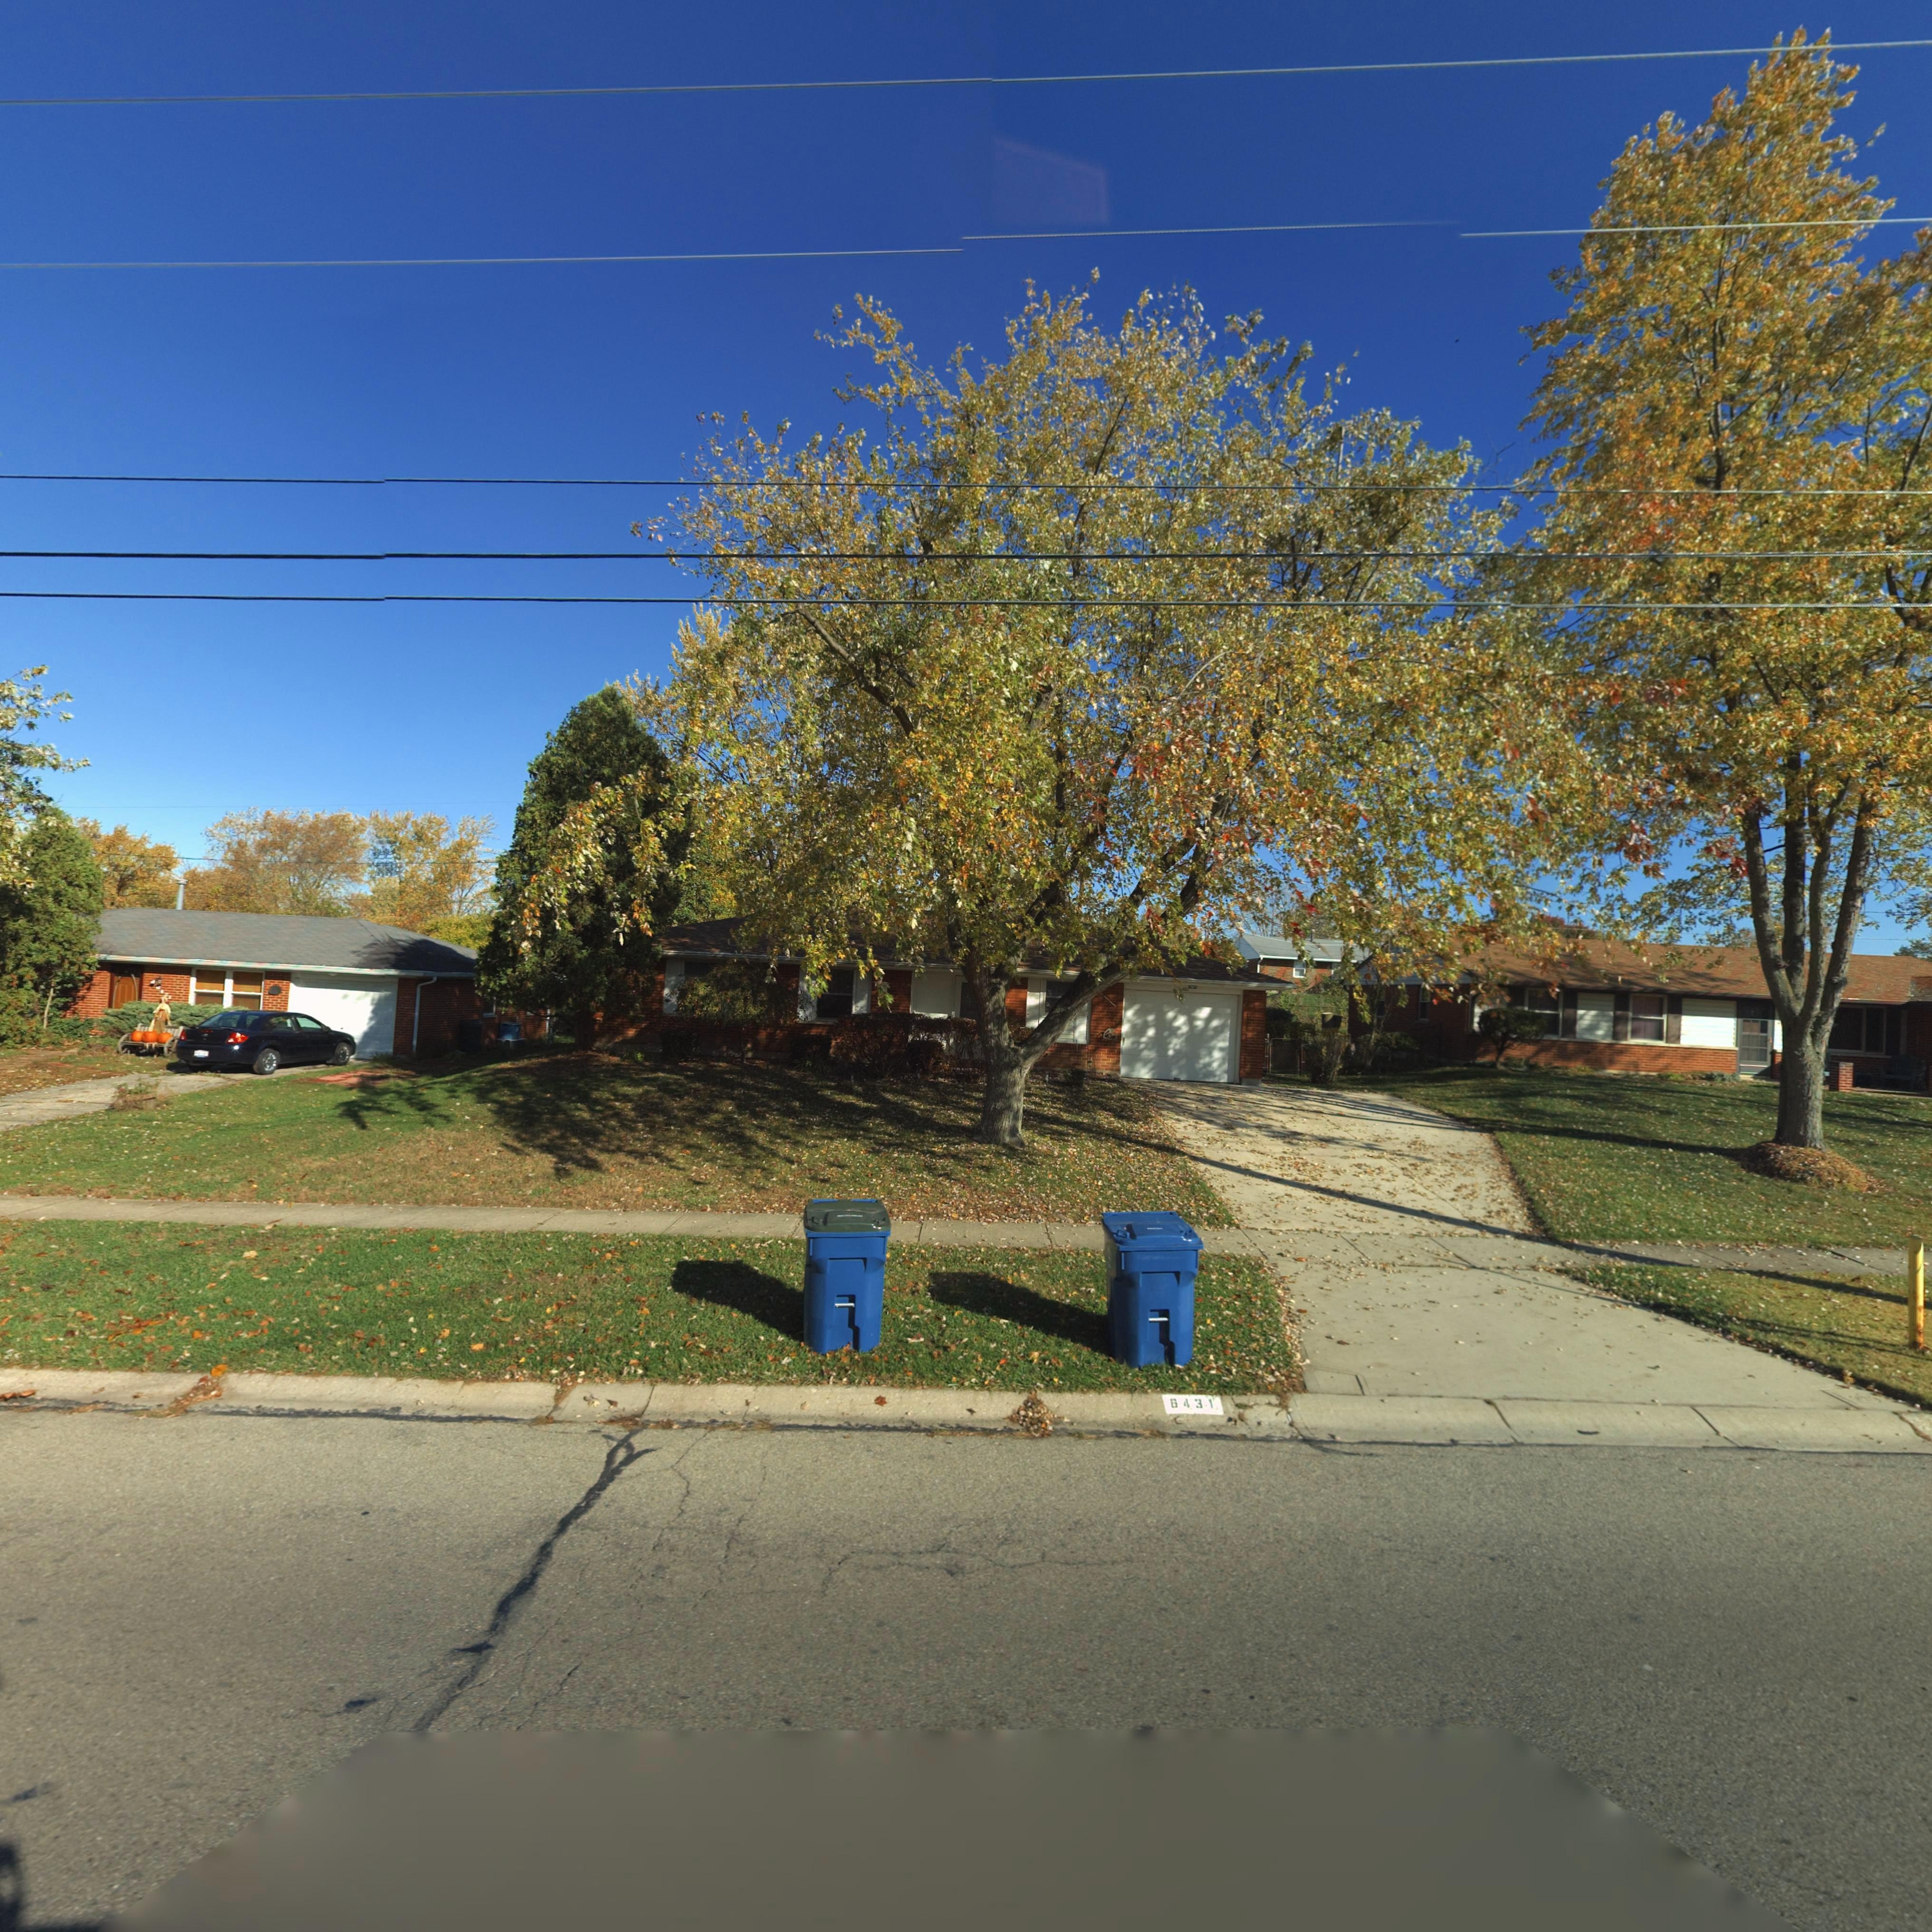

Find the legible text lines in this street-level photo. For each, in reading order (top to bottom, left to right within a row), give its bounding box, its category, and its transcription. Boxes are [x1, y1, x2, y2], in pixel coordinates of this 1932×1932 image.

[1169, 1397, 1215, 1410] StreetNumber: 6431